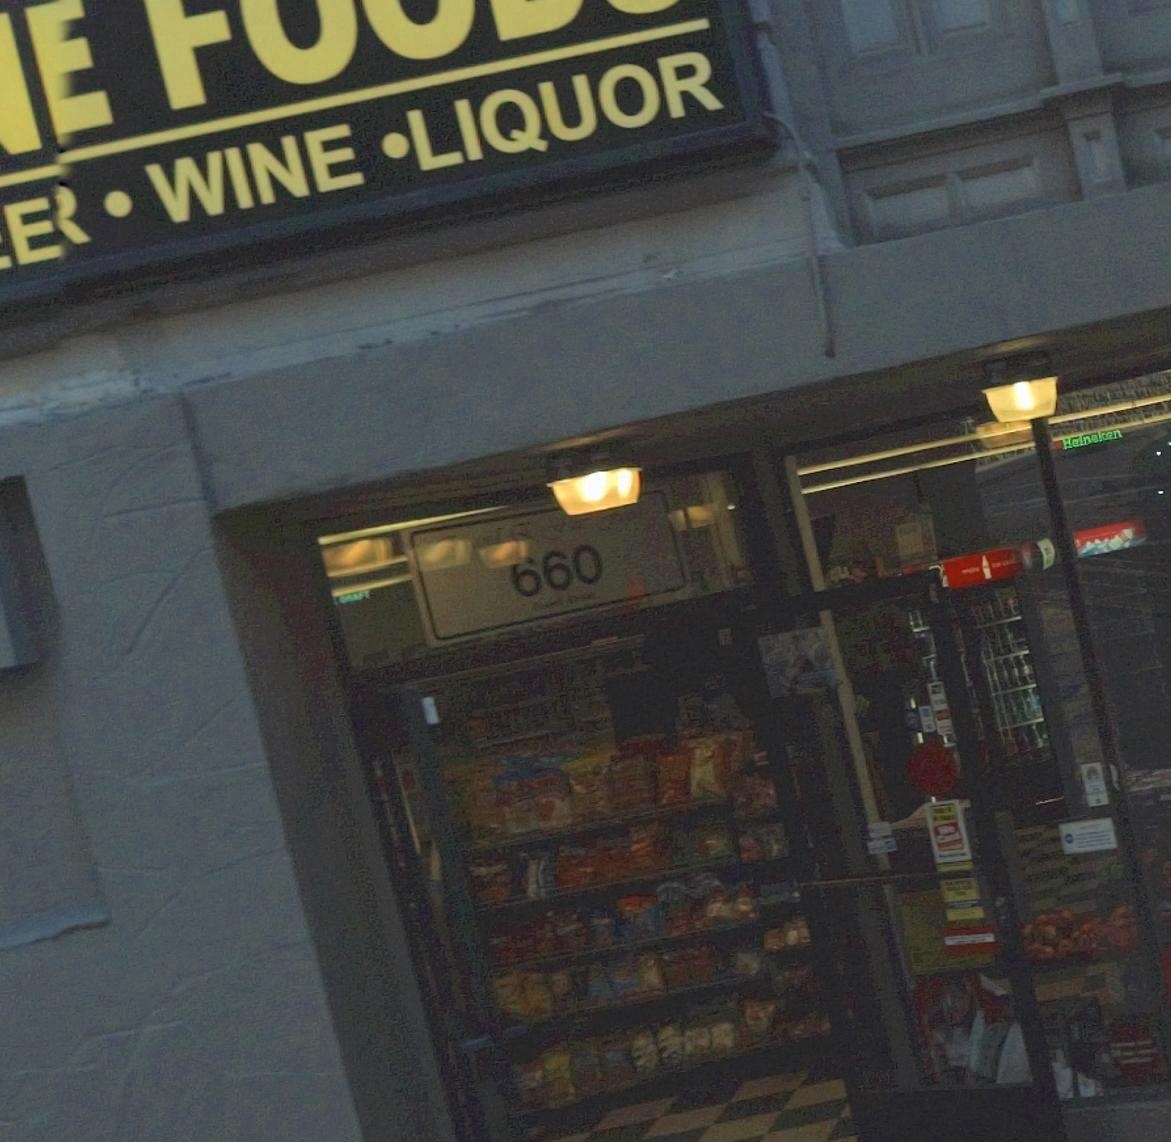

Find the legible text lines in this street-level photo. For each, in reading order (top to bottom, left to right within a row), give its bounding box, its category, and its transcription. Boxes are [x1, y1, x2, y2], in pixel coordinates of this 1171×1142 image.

[0, 42, 731, 271] None: E* * WINE * LIQUOR
[1060, 427, 1125, 452] None: Heineken
[502, 538, 613, 604] StreetNumber: 660
[935, 823, 957, 835] None: We
[936, 829, 961, 845] None: Card